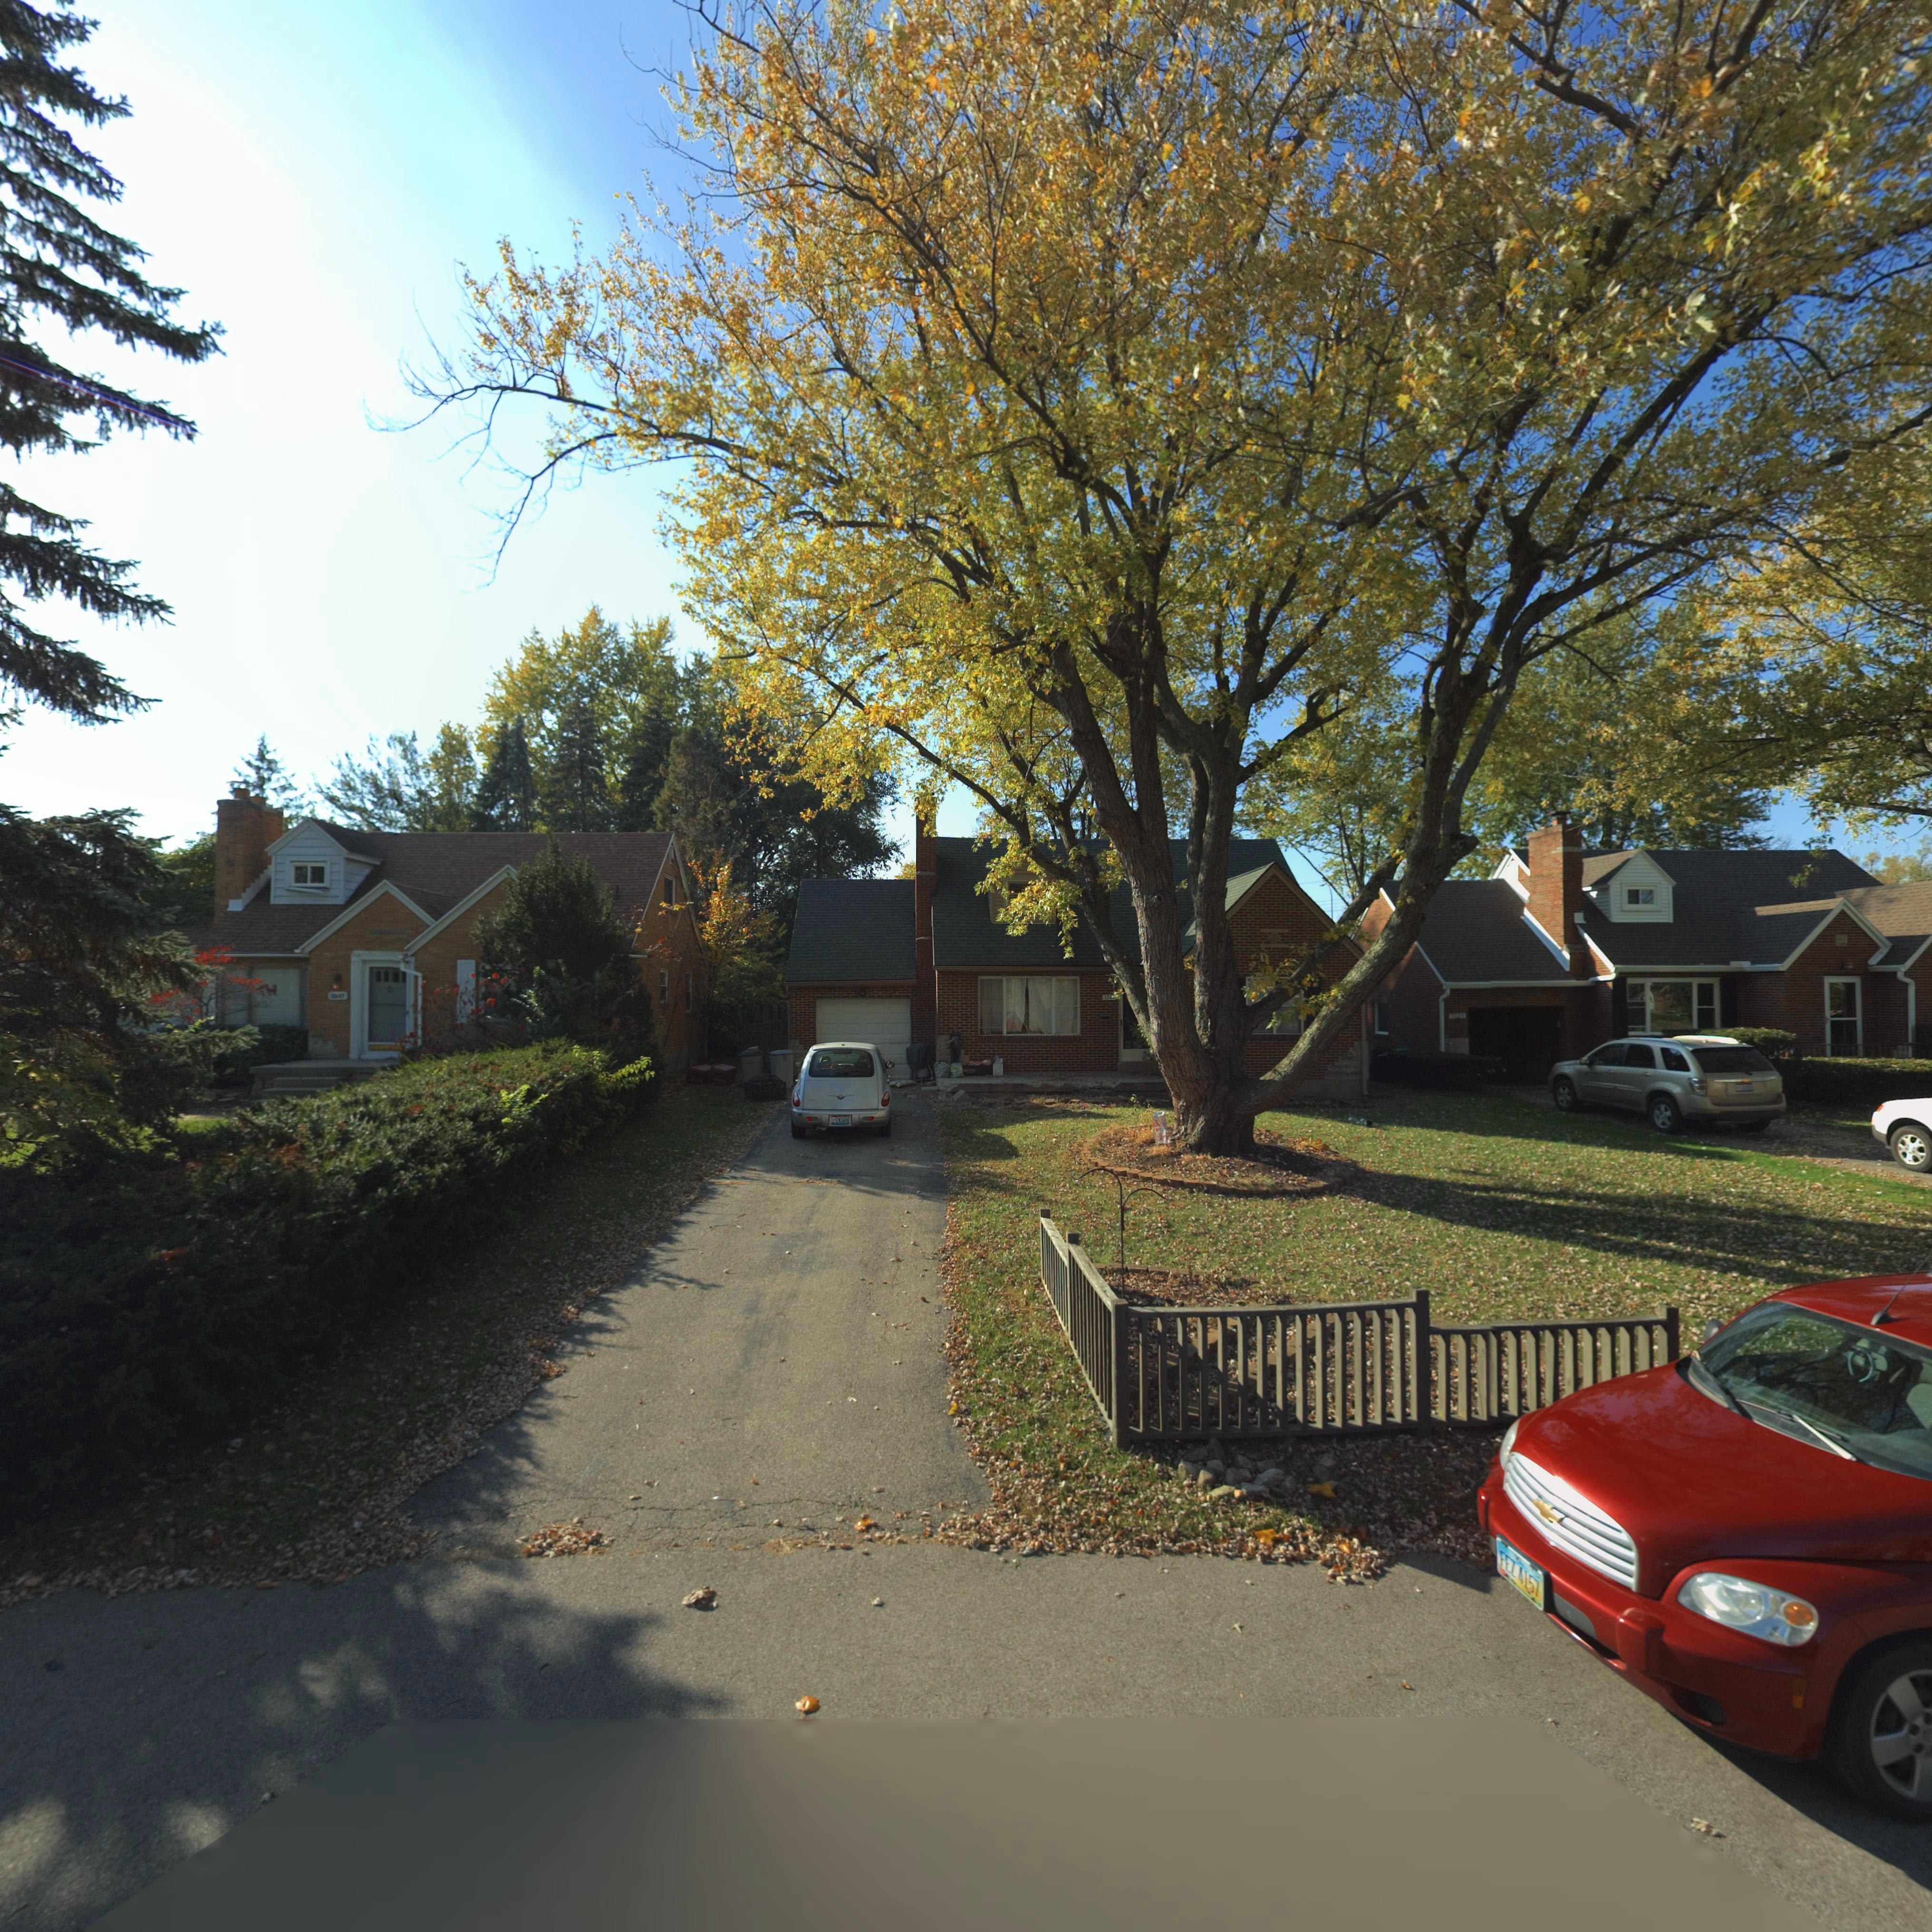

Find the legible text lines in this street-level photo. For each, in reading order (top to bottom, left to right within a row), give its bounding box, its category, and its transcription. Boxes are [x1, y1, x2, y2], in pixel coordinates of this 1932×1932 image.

[330, 993, 345, 999] StreetNumber: 3247
[1103, 995, 1116, 1000] StreetNumber: 32**
[1450, 1013, 1465, 1019] StreetNumber: 3233